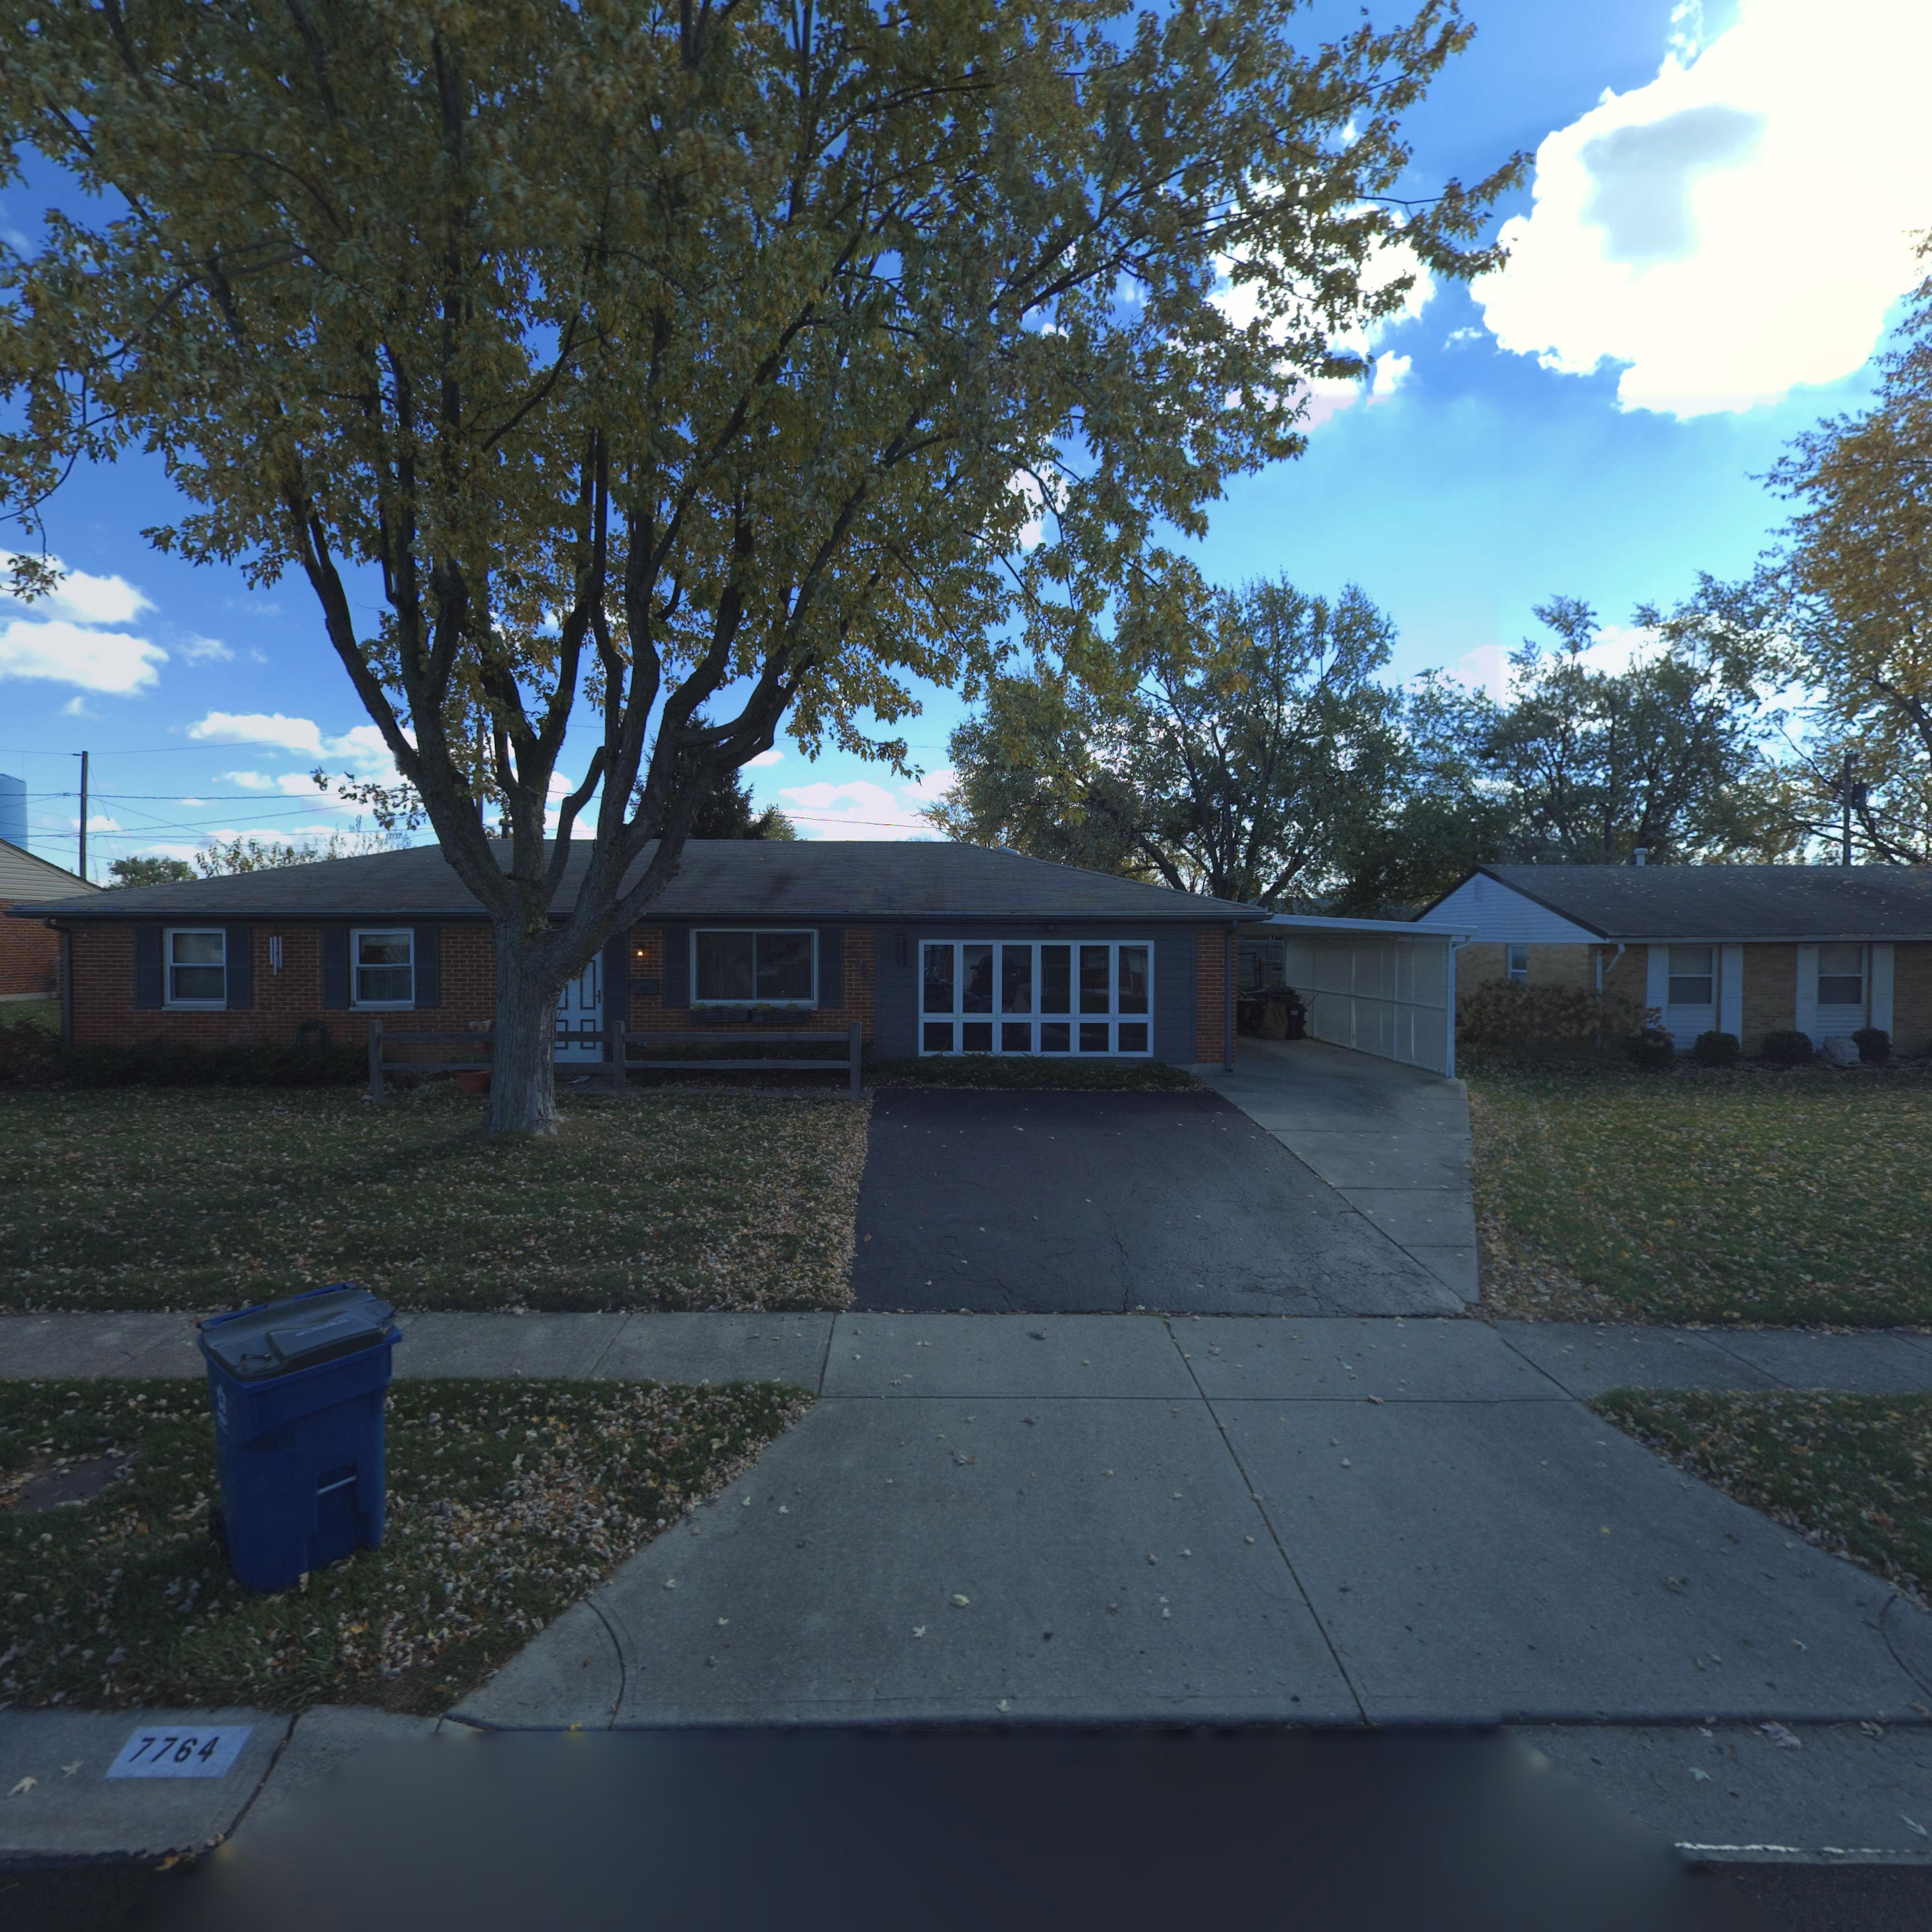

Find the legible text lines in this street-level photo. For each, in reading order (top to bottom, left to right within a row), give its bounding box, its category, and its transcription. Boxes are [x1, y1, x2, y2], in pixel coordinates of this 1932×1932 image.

[847, 943, 870, 986] StreetNumber: 77*4
[125, 1736, 222, 1764] StreetNumber: 7764